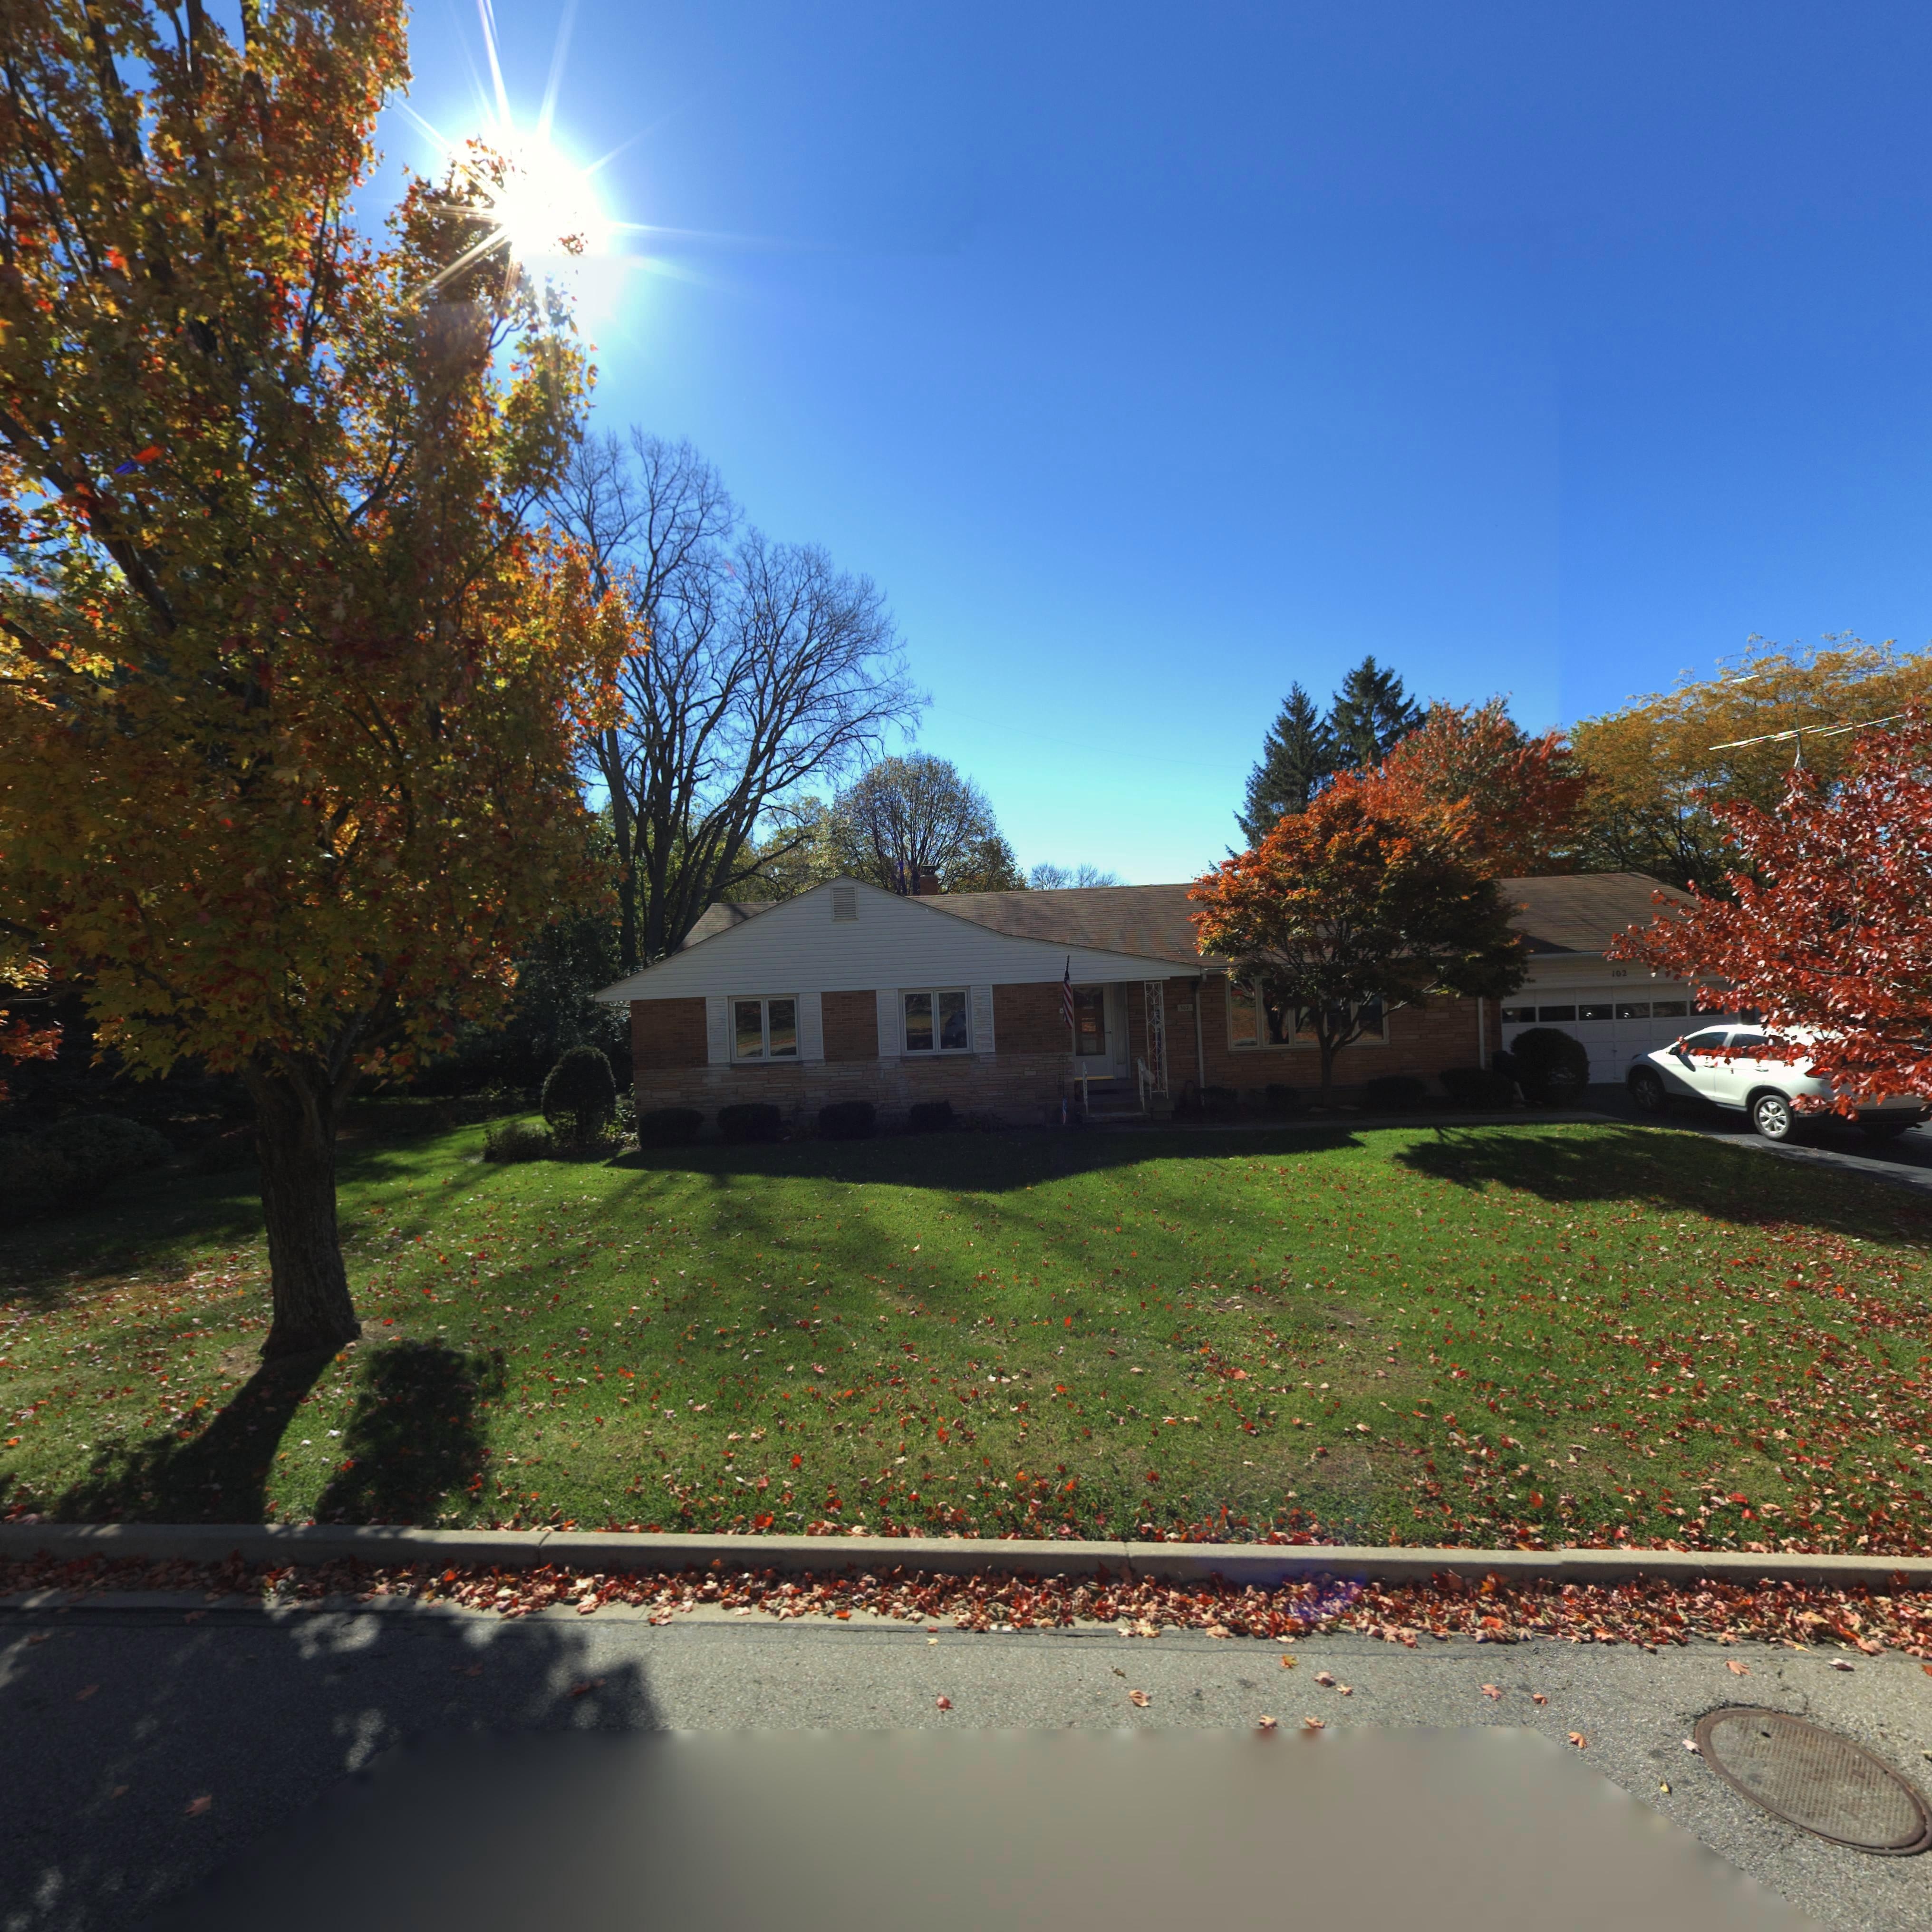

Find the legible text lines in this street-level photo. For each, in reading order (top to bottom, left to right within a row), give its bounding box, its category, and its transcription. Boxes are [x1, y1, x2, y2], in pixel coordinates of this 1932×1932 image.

[1611, 969, 1627, 978] StreetNumber: 102
[1180, 1005, 1189, 1011] StreetNumber: 102